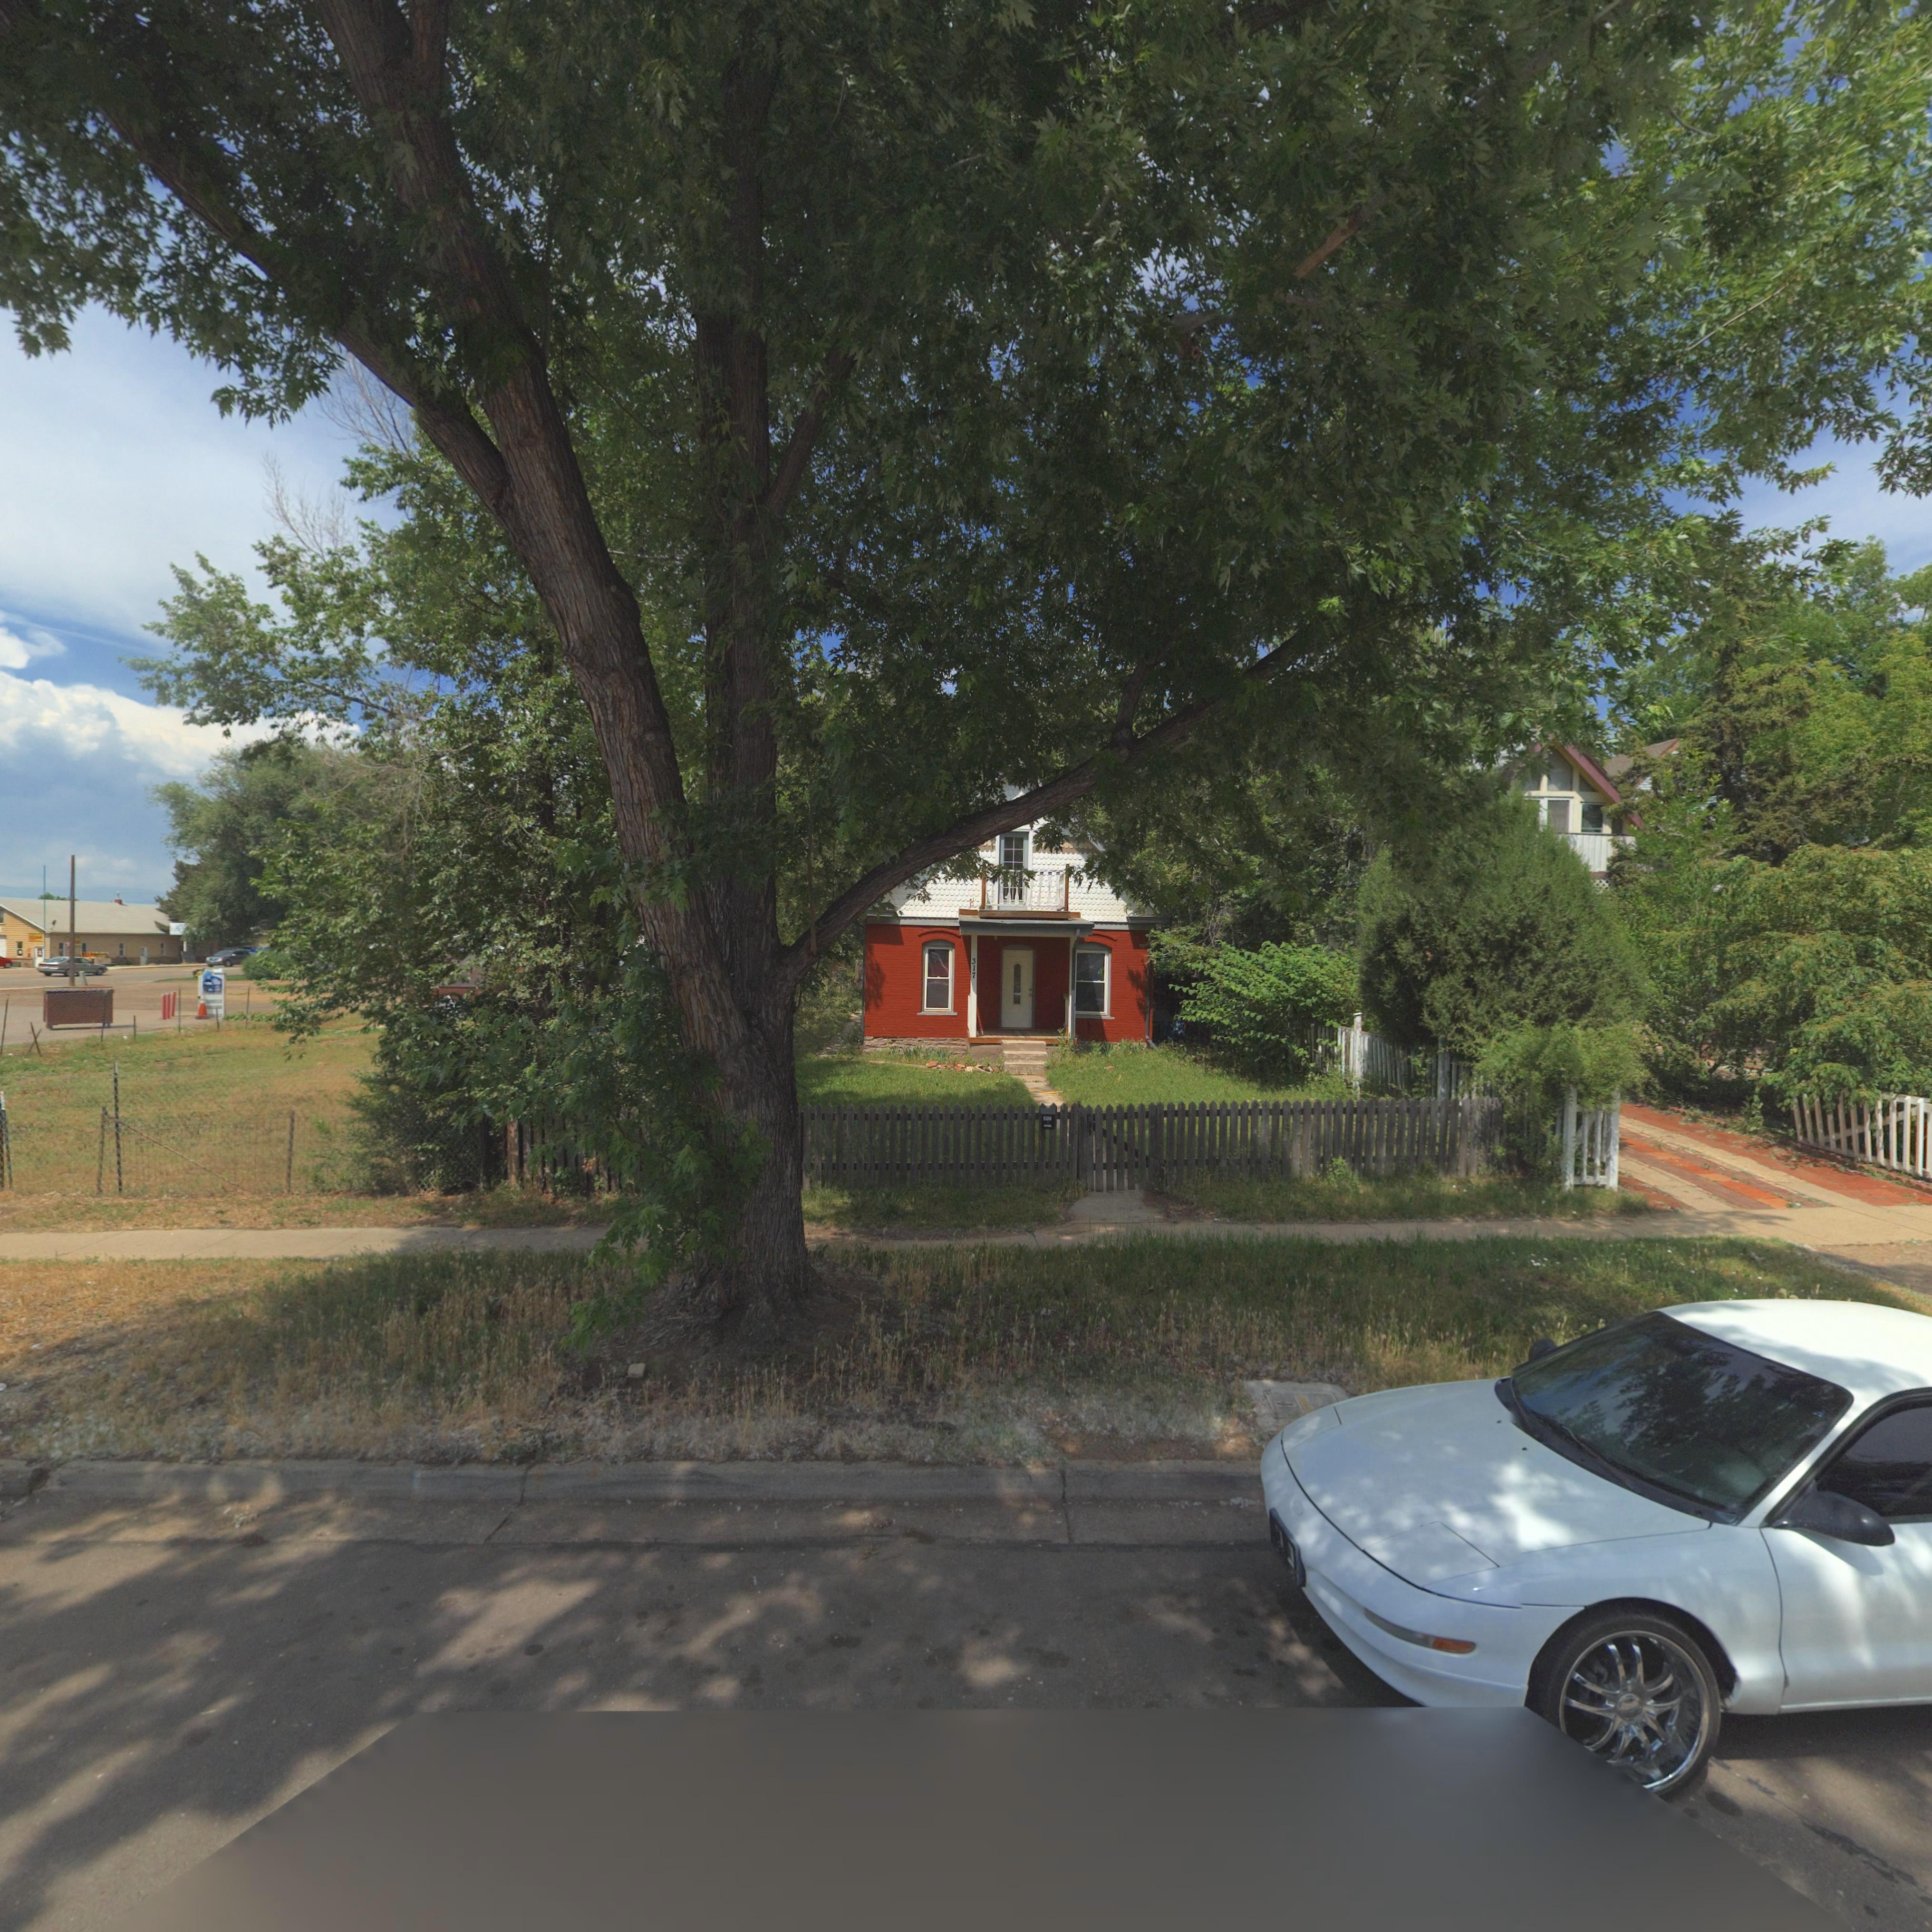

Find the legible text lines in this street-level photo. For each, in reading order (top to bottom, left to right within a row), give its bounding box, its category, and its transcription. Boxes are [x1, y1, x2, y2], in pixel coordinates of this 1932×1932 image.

[971, 957, 976, 979] StreetNumber: 317